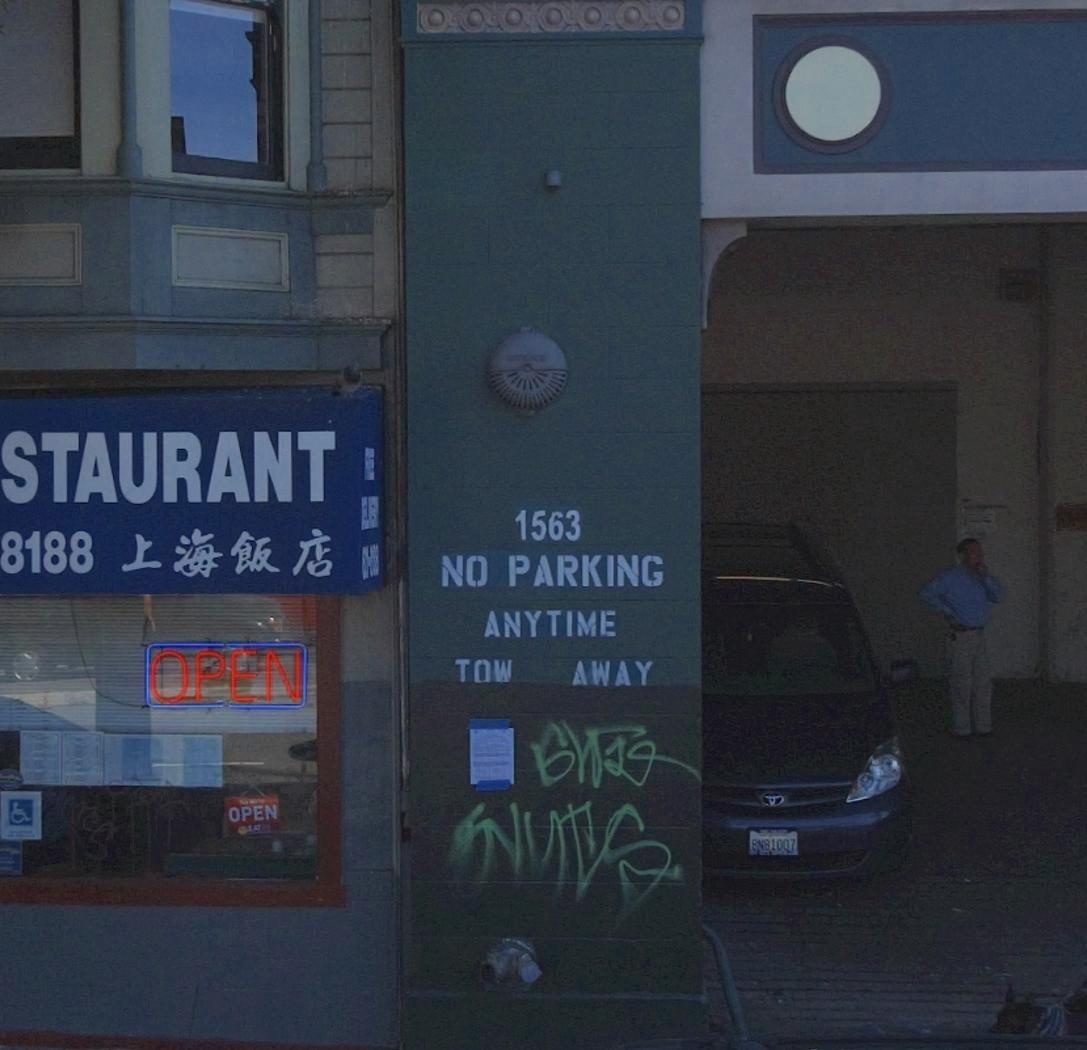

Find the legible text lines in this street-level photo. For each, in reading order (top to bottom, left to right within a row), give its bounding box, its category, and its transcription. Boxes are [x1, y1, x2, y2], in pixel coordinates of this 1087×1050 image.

[0, 424, 345, 509] None: STAURANT
[510, 505, 587, 545] StreetNumber: 1563
[0, 525, 98, 579] StreetNumber: 8188
[438, 547, 668, 594] None: NO PARKING
[480, 604, 623, 643] None: ANYTIME
[144, 644, 307, 710] None: OPEN
[449, 652, 520, 690] None: TOW
[568, 654, 663, 690] None: AWAY
[226, 800, 281, 827] None: OPEN
[770, 835, 798, 853] None: 1007